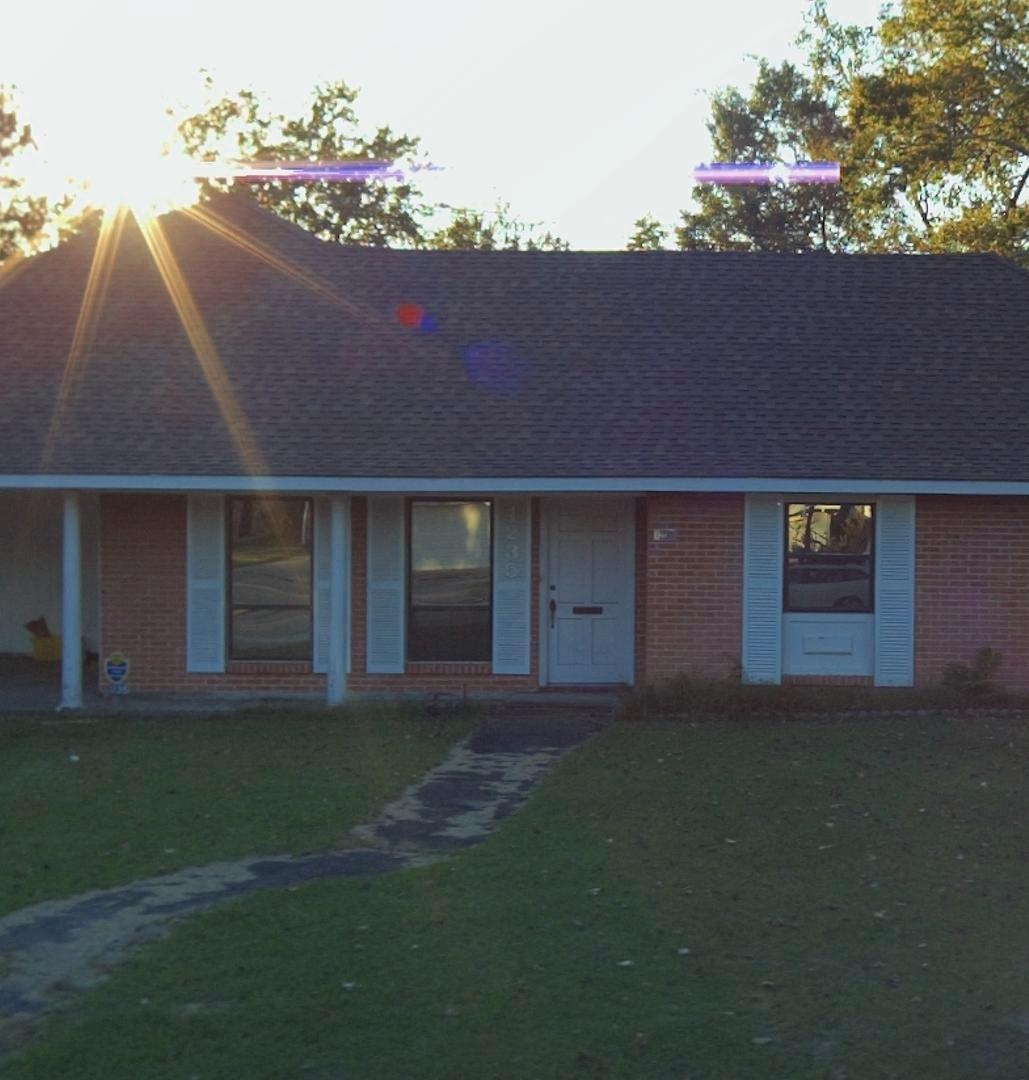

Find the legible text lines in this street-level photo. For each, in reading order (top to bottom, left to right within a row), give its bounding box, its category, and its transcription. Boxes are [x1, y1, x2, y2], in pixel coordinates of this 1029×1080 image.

[503, 504, 520, 579] StreetNumber: 1235
[114, 685, 130, 695] StreetNumber: 35